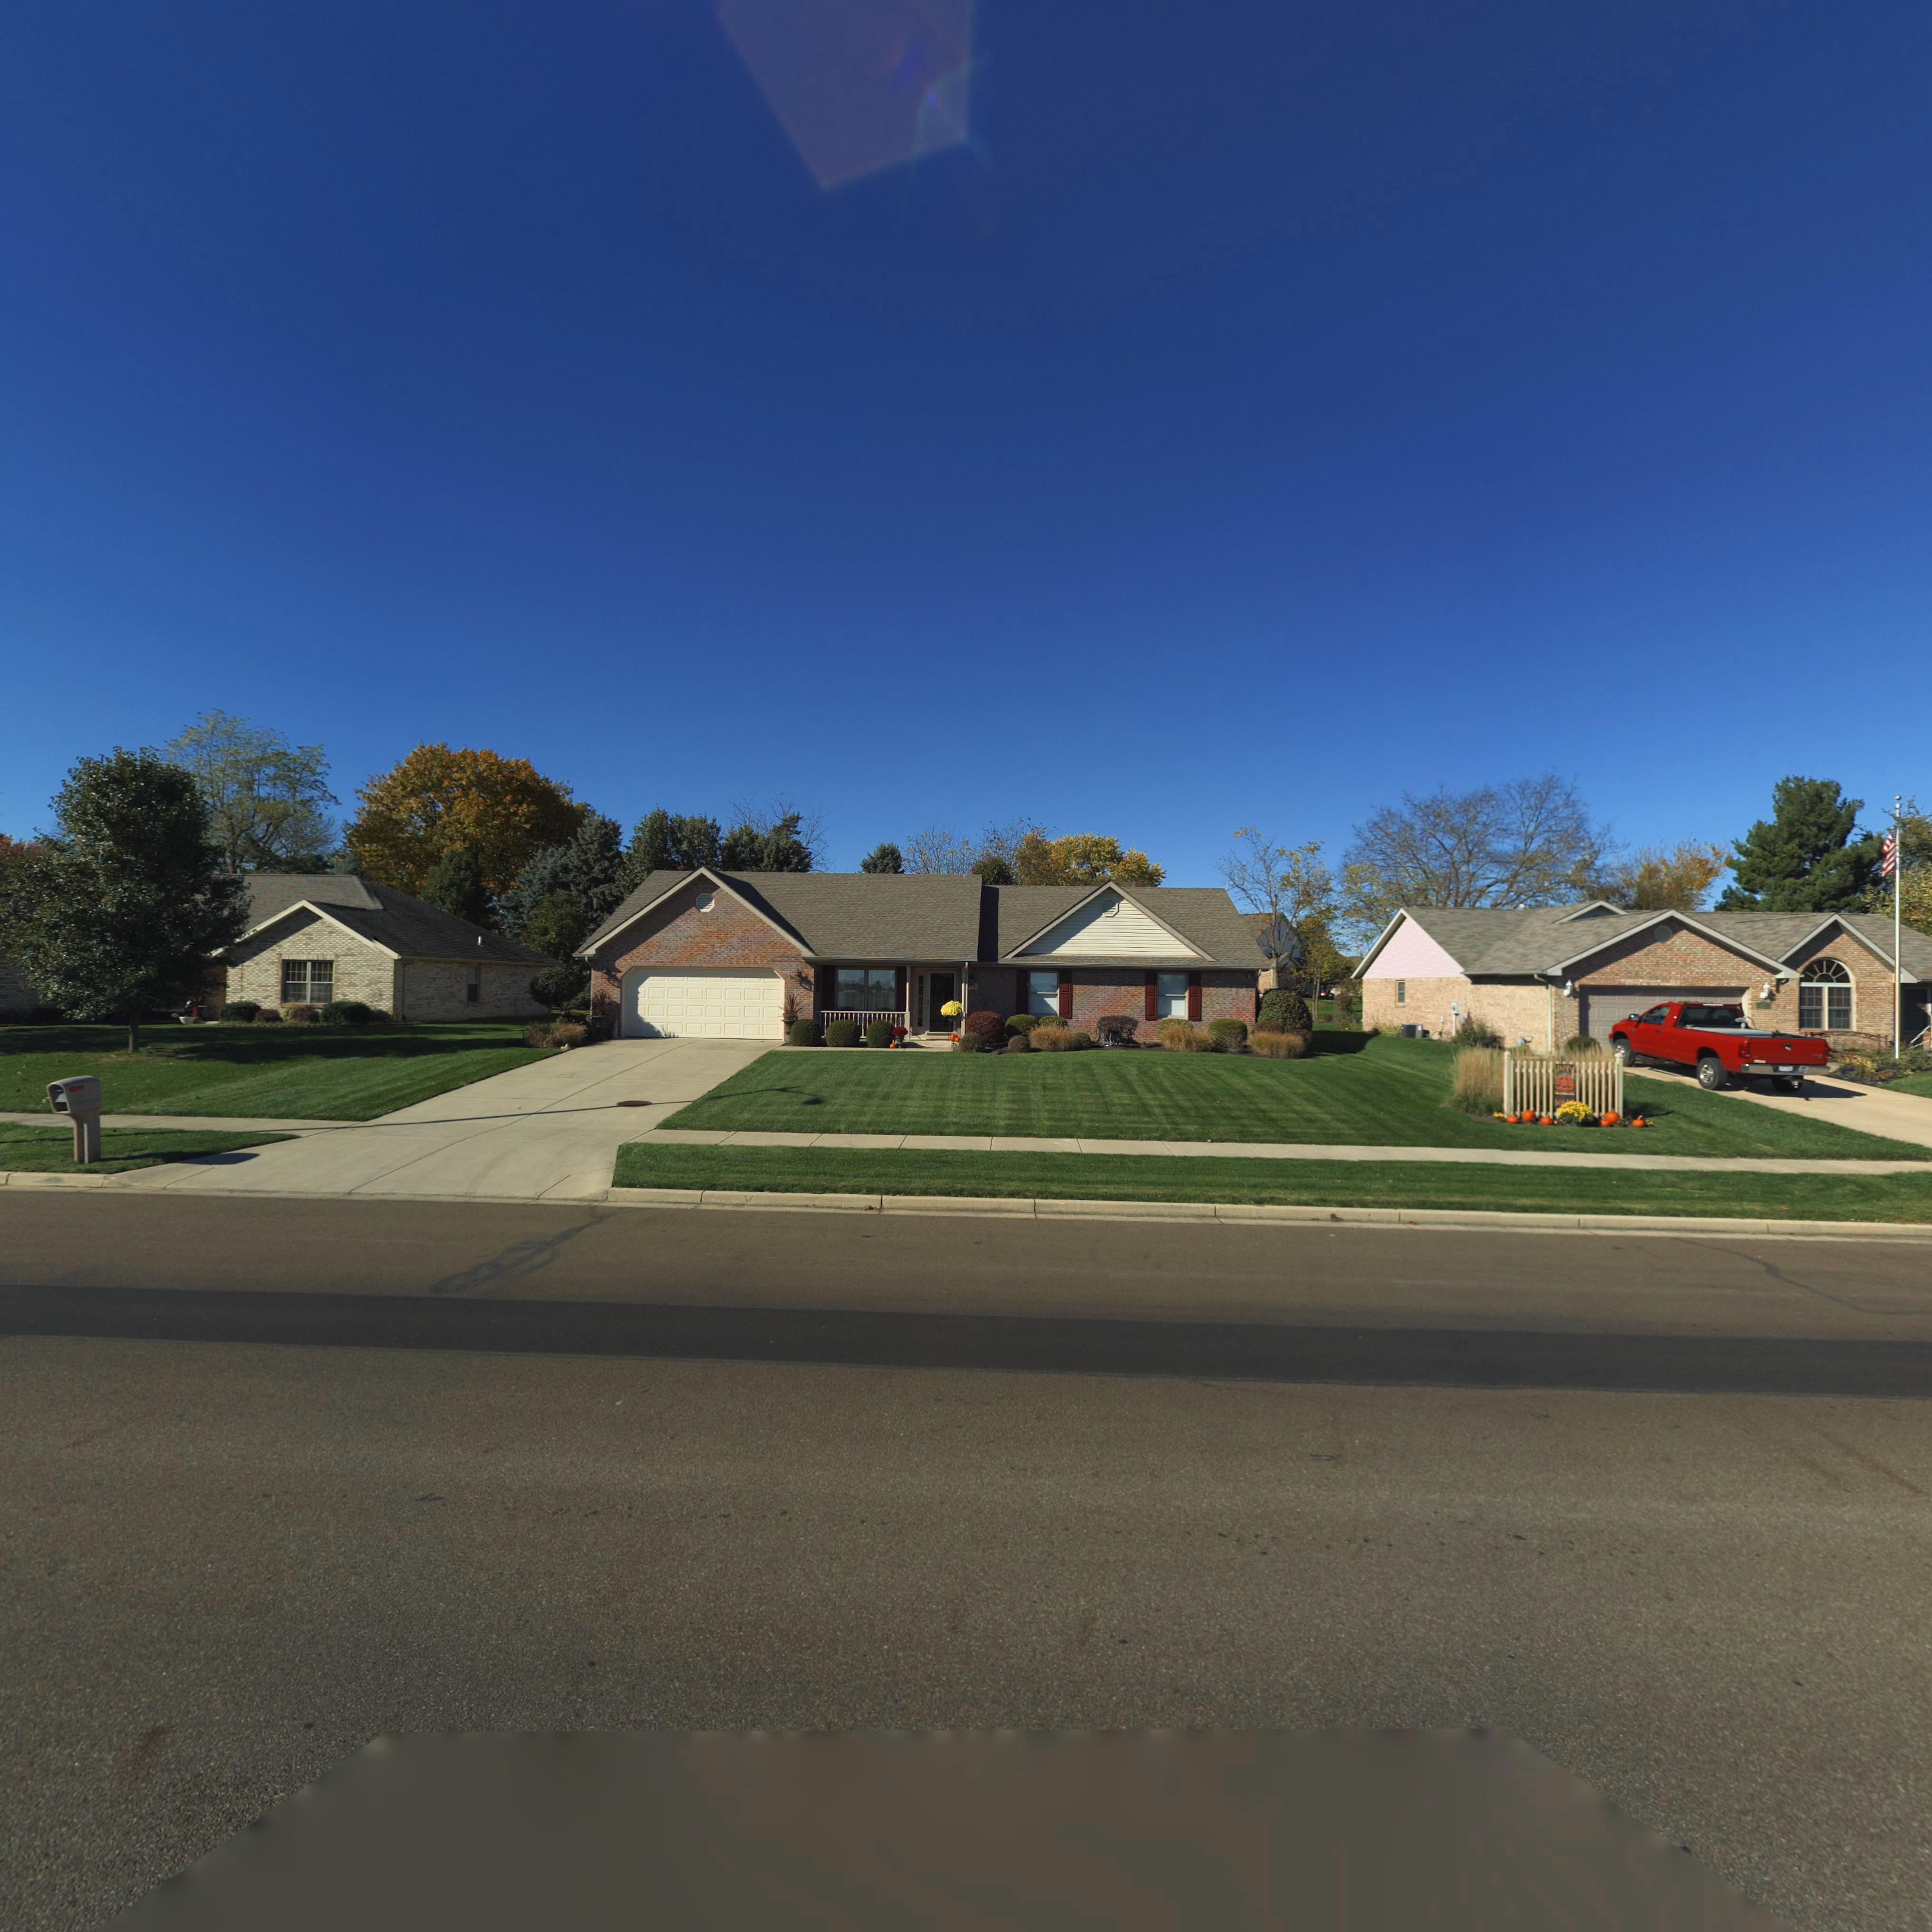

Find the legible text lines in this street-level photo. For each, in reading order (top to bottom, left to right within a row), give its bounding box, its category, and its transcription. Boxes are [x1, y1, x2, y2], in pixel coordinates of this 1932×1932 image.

[970, 984, 976, 988] StreetNumber: 71